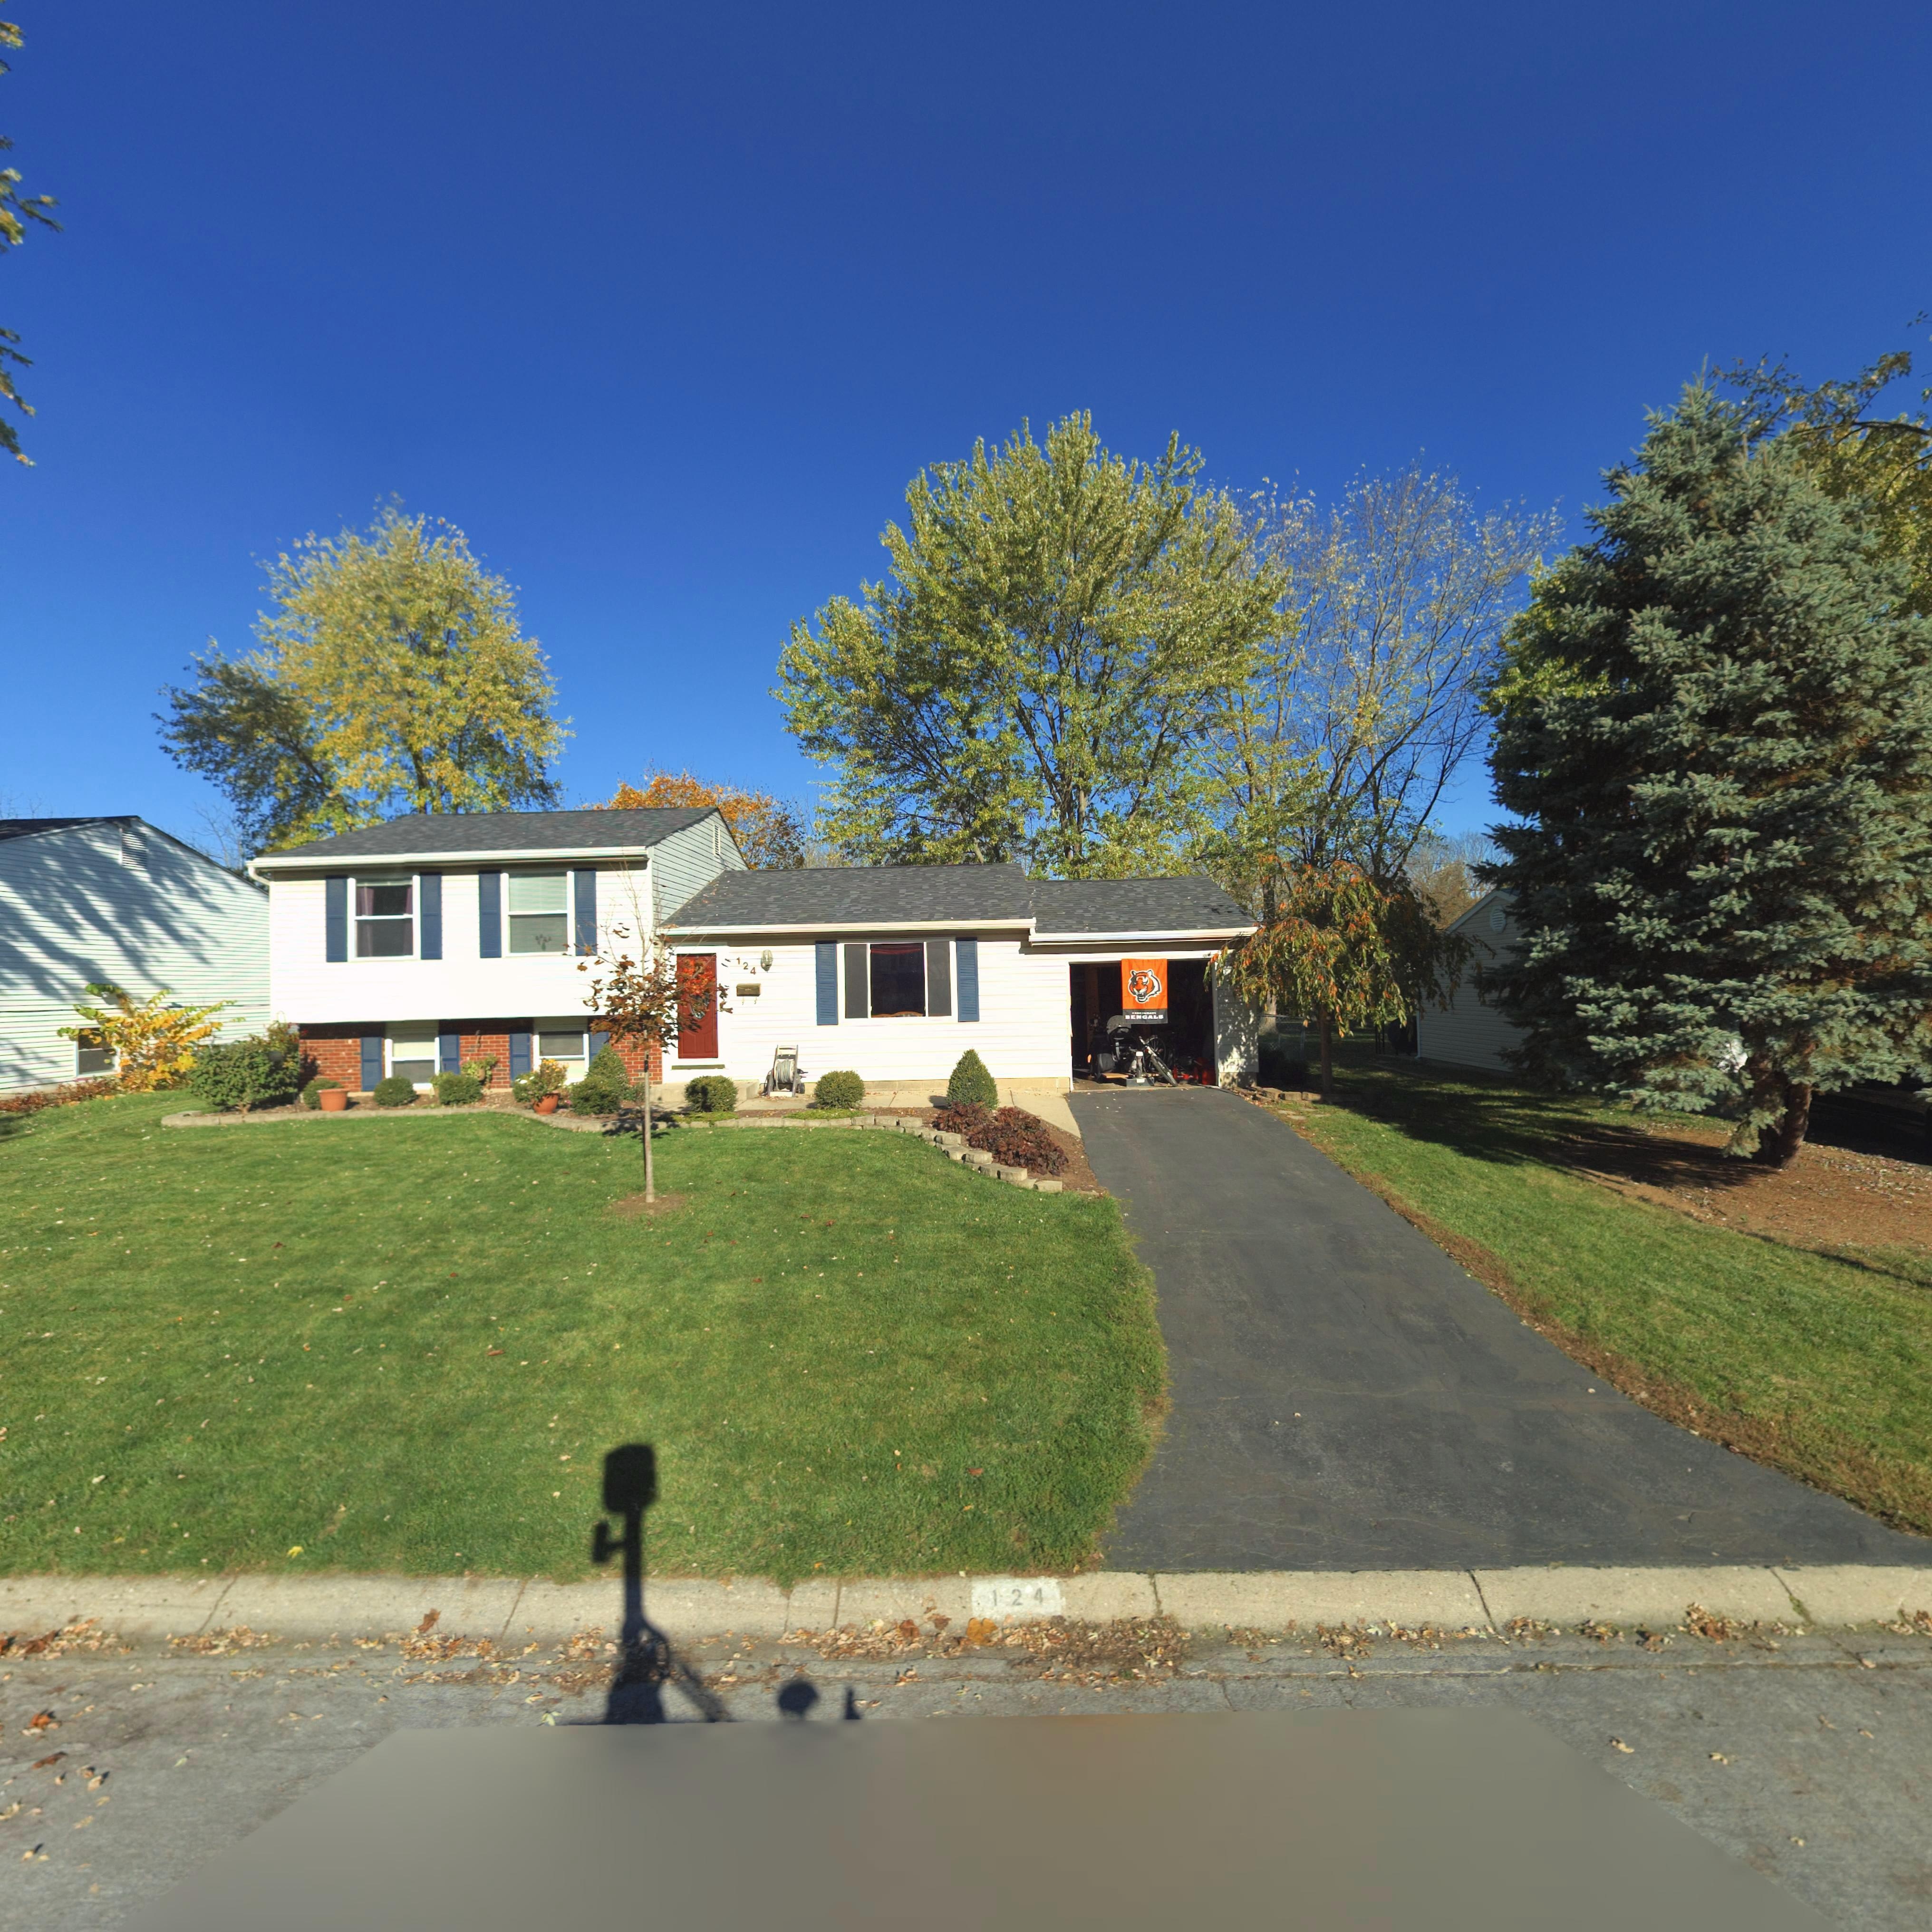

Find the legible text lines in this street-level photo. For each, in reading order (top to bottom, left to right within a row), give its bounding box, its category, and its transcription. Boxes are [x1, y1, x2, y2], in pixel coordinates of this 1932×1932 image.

[735, 956, 756, 976] StreetNumber: 124
[992, 1586, 1044, 1607] StreetNumber: 124